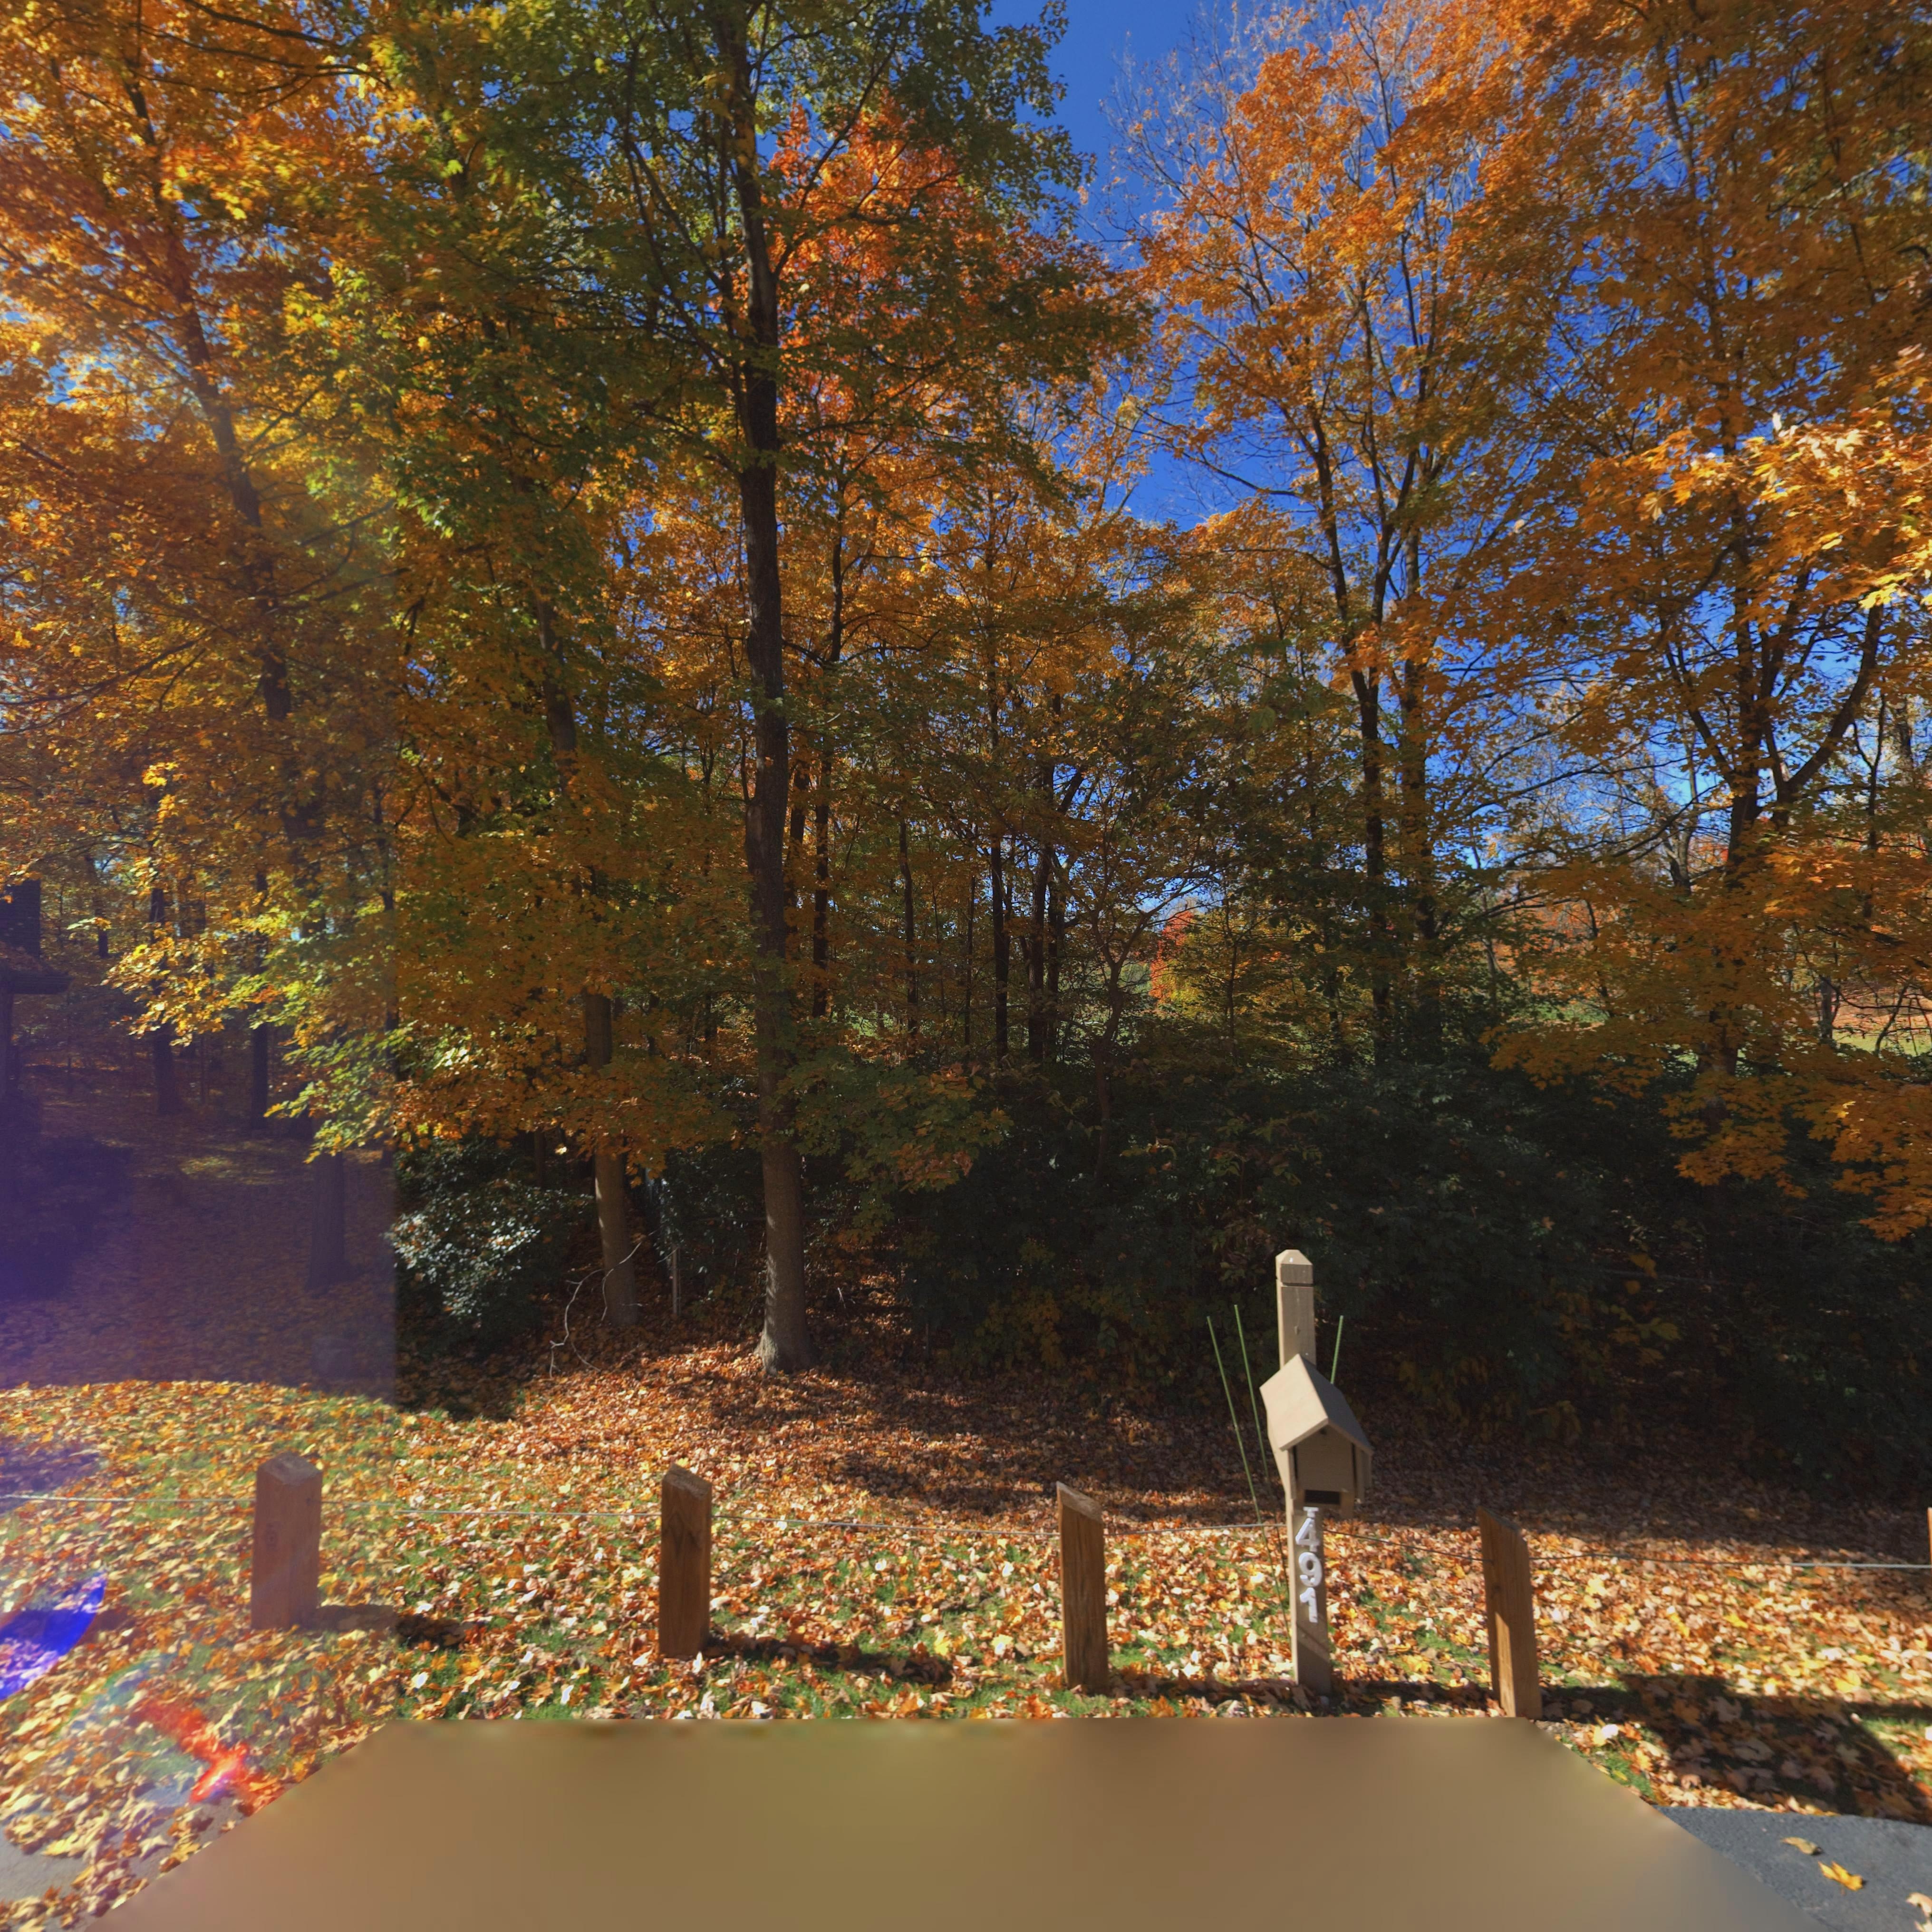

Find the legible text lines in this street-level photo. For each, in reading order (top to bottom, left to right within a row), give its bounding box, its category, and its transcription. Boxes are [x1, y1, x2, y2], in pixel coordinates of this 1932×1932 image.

[1294, 1516, 1324, 1624] StreetNumber: 491